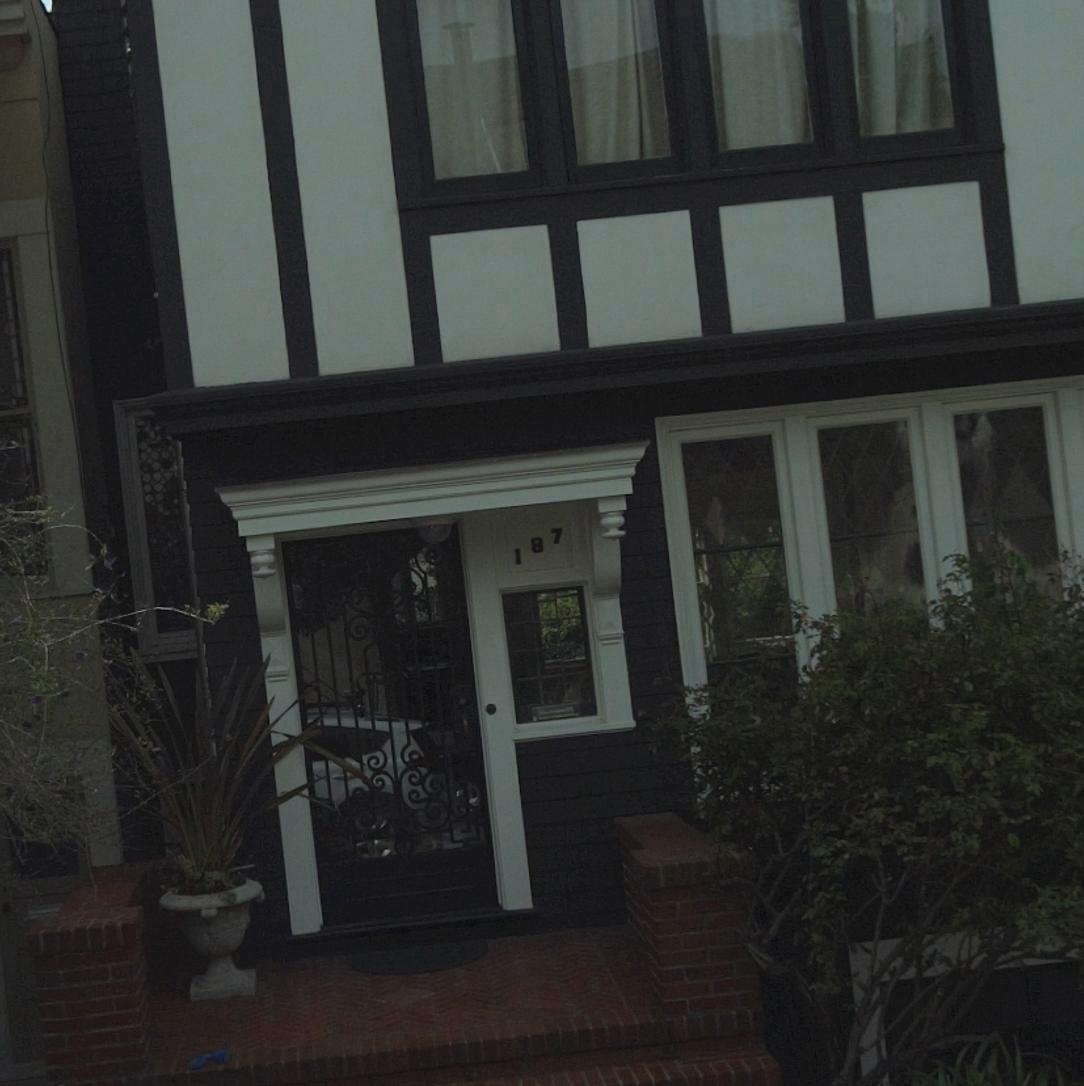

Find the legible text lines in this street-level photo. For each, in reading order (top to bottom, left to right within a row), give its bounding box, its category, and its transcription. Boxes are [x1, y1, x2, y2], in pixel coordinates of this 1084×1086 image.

[512, 523, 567, 568] StreetNumber: 187